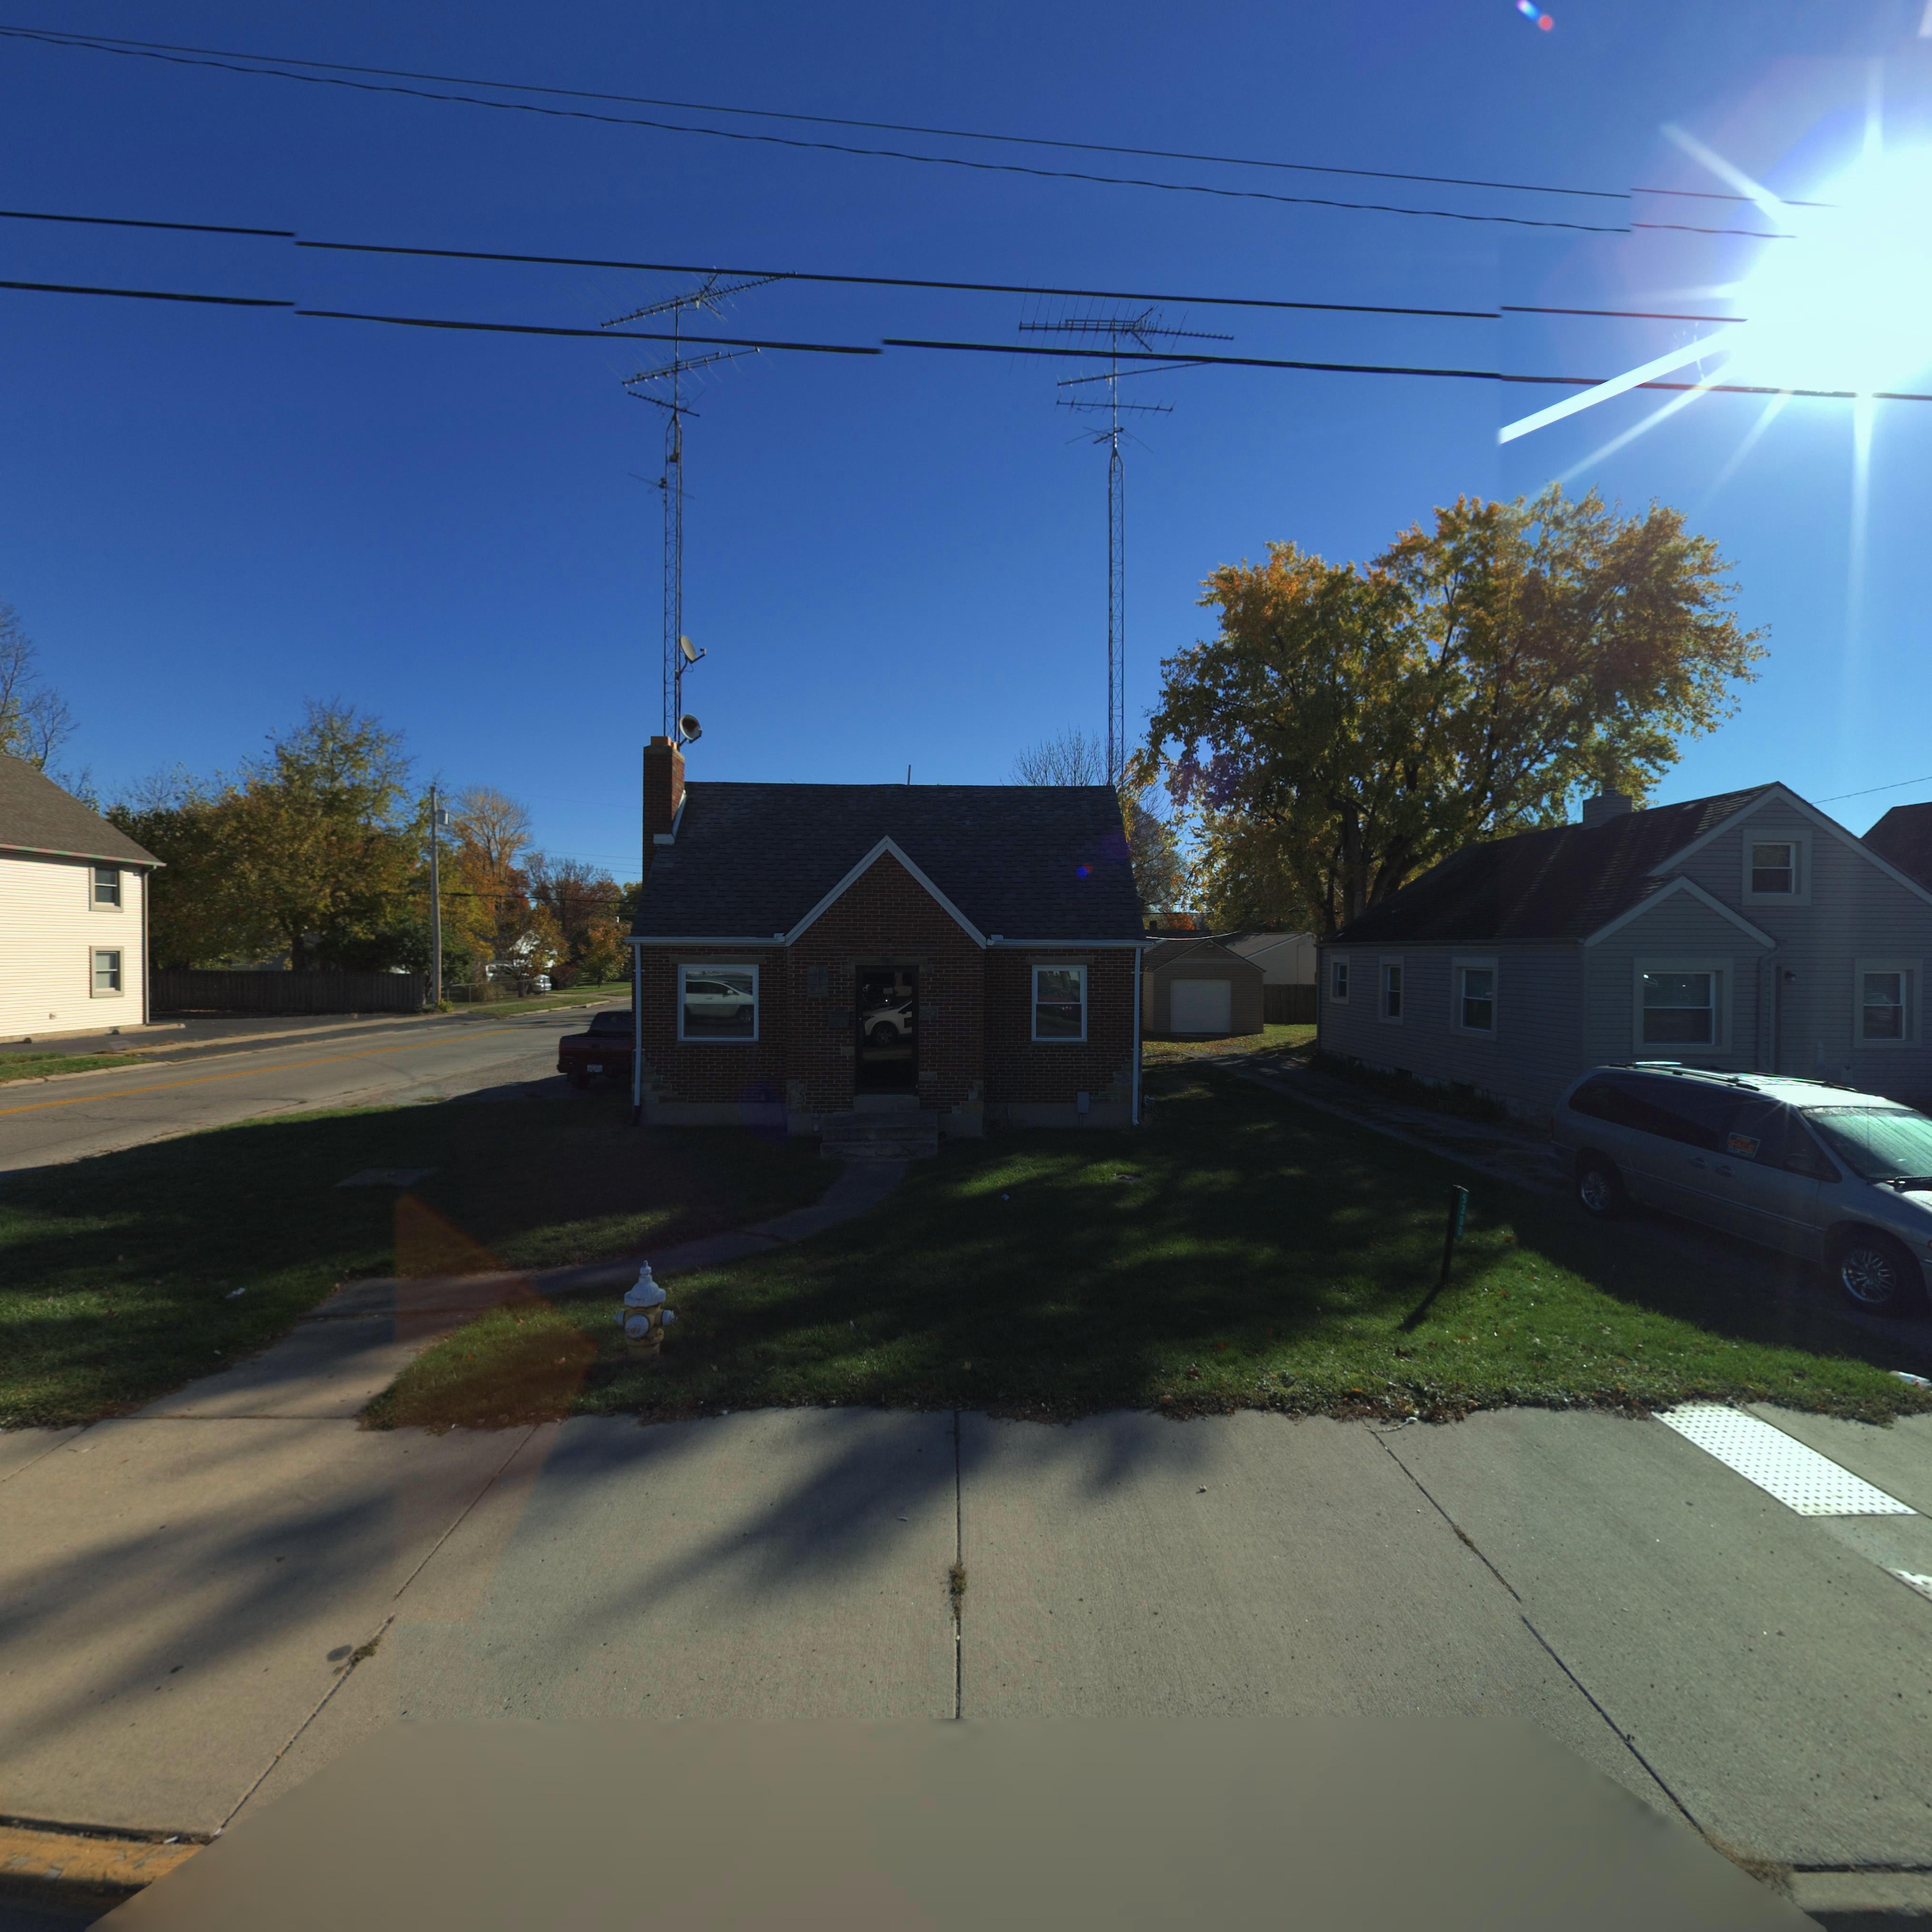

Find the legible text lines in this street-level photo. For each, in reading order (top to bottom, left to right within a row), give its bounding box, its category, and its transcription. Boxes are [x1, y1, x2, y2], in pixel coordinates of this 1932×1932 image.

[1456, 1191, 1468, 1237] StreetNumber: 5300